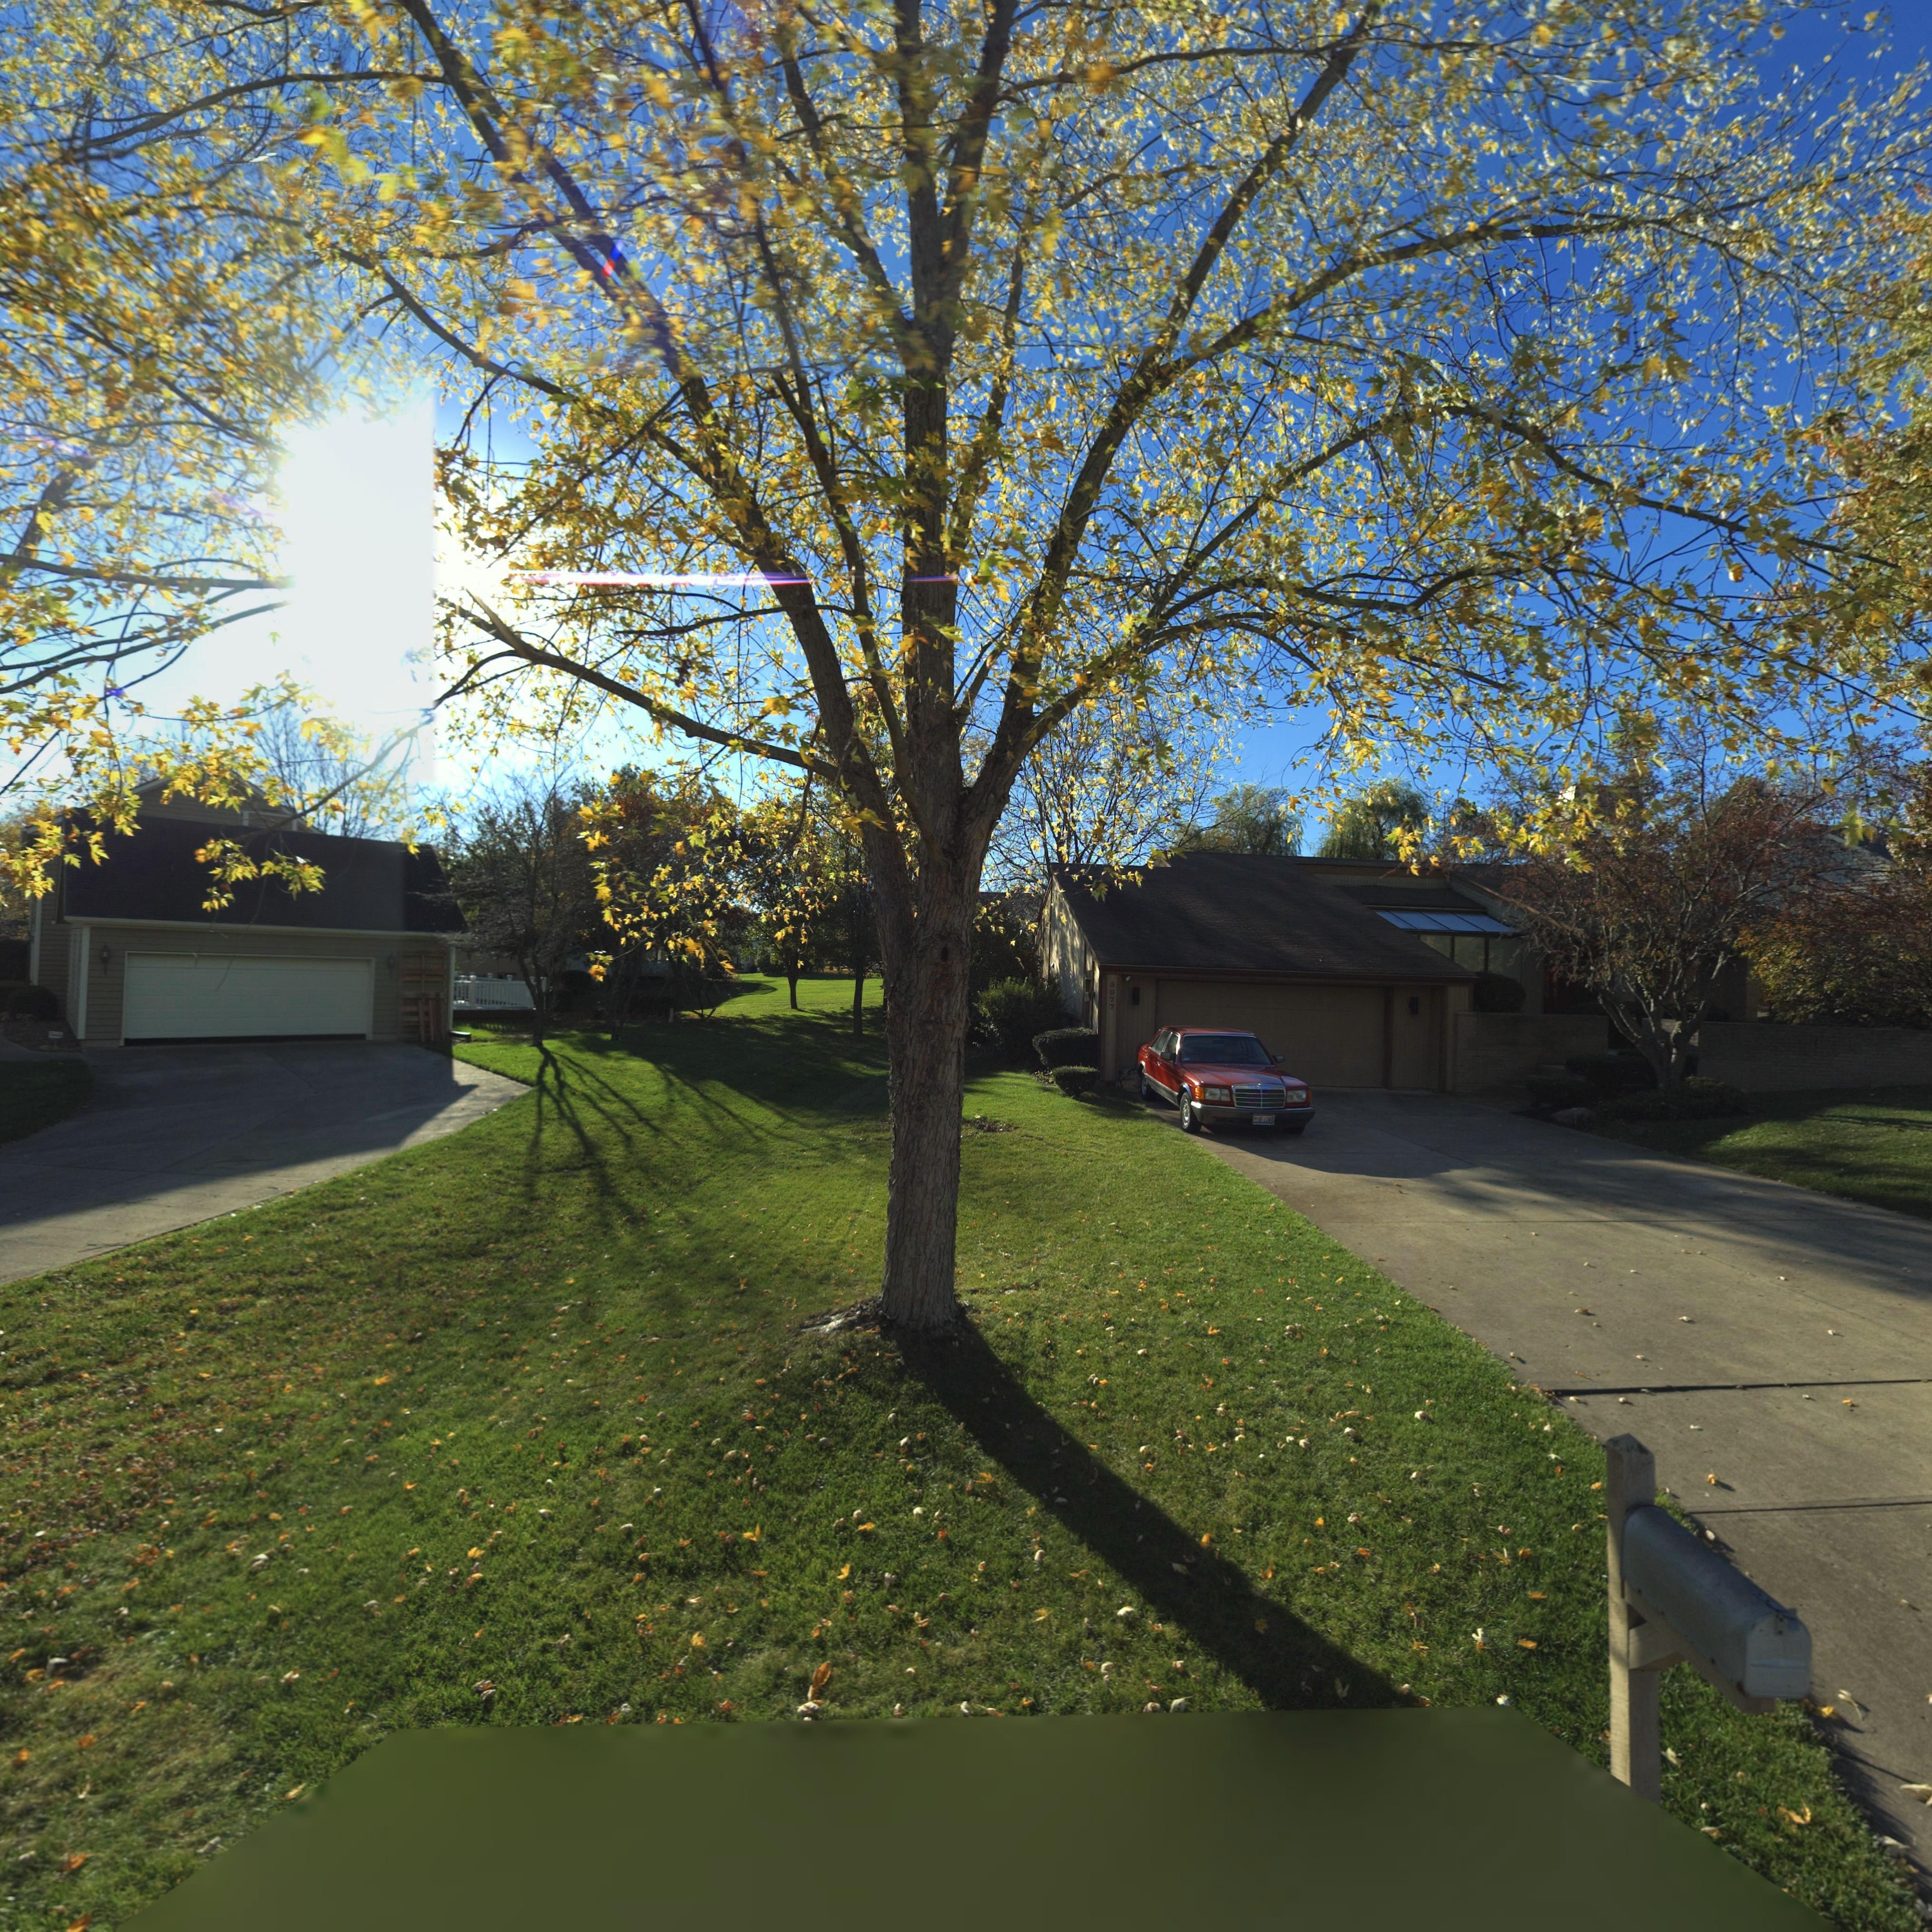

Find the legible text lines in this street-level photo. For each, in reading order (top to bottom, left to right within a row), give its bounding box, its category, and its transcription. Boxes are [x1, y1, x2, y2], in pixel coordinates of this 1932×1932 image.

[1109, 981, 1116, 1011] StreetNumber: 5077